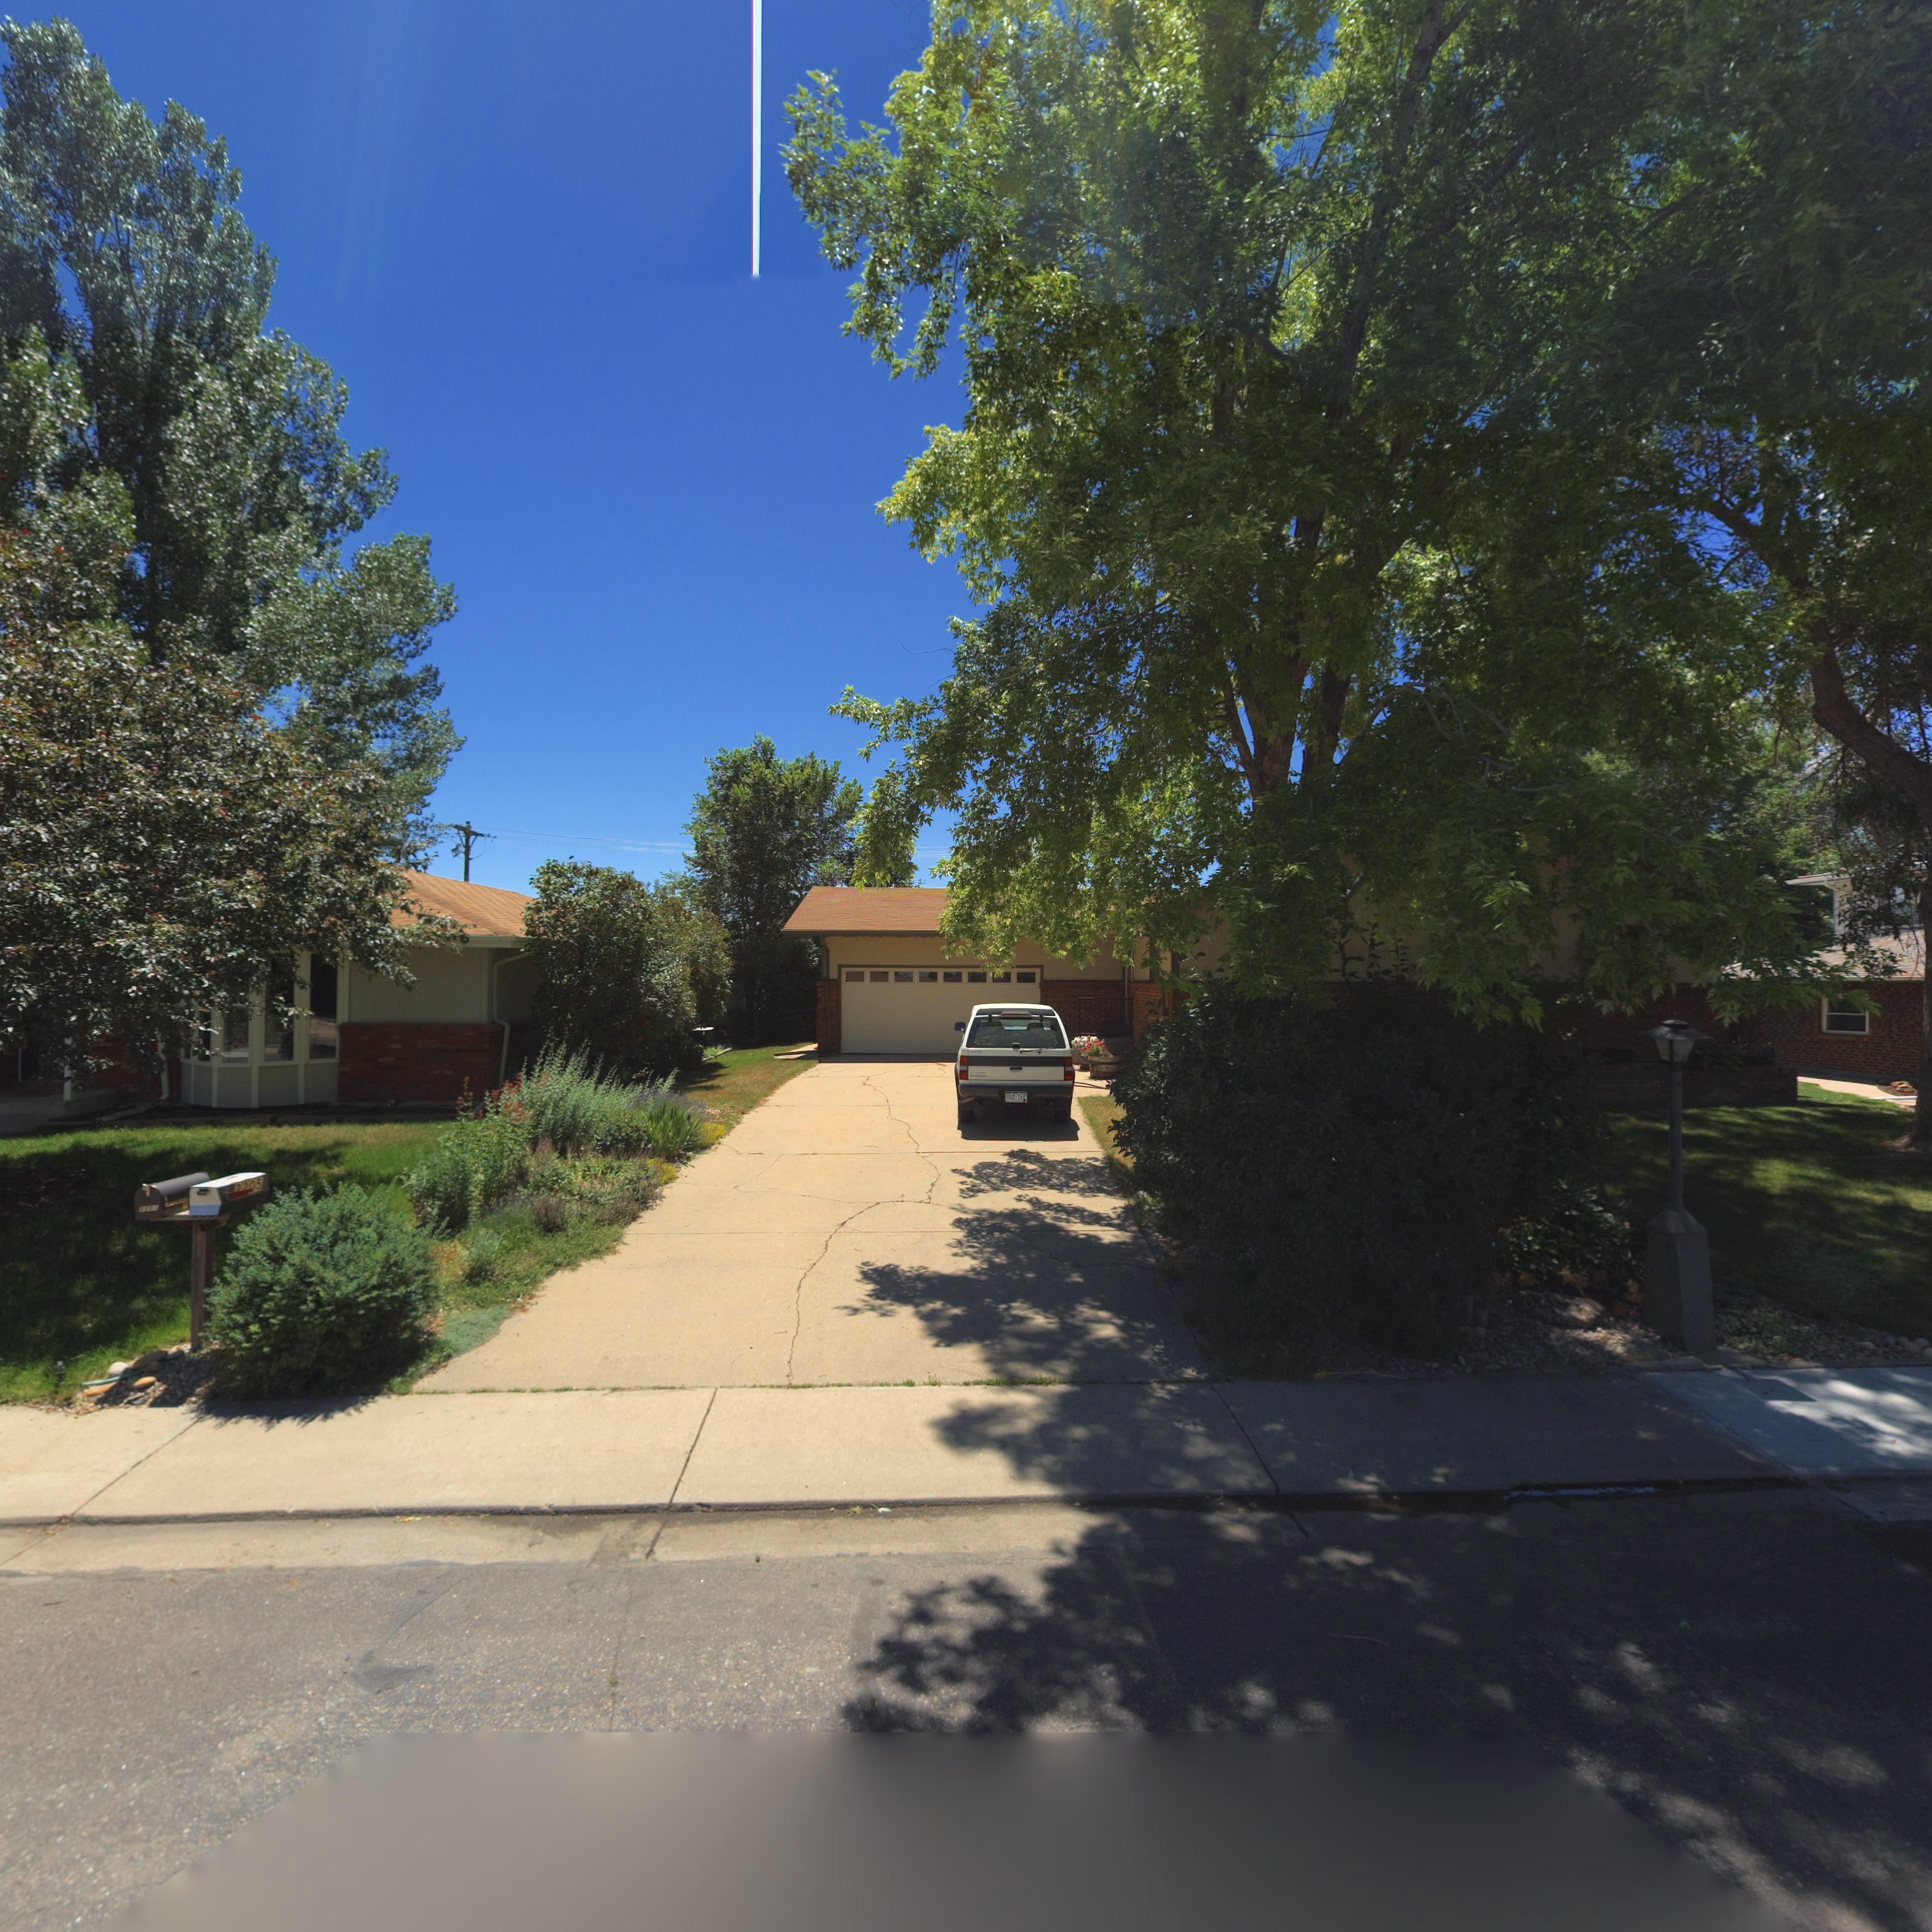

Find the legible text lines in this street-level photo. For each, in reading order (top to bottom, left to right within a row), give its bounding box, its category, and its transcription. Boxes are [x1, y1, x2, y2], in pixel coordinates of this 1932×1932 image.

[236, 1178, 262, 1197] StreetNumber: **05
[139, 1205, 158, 1212] StreetNumber: 2201